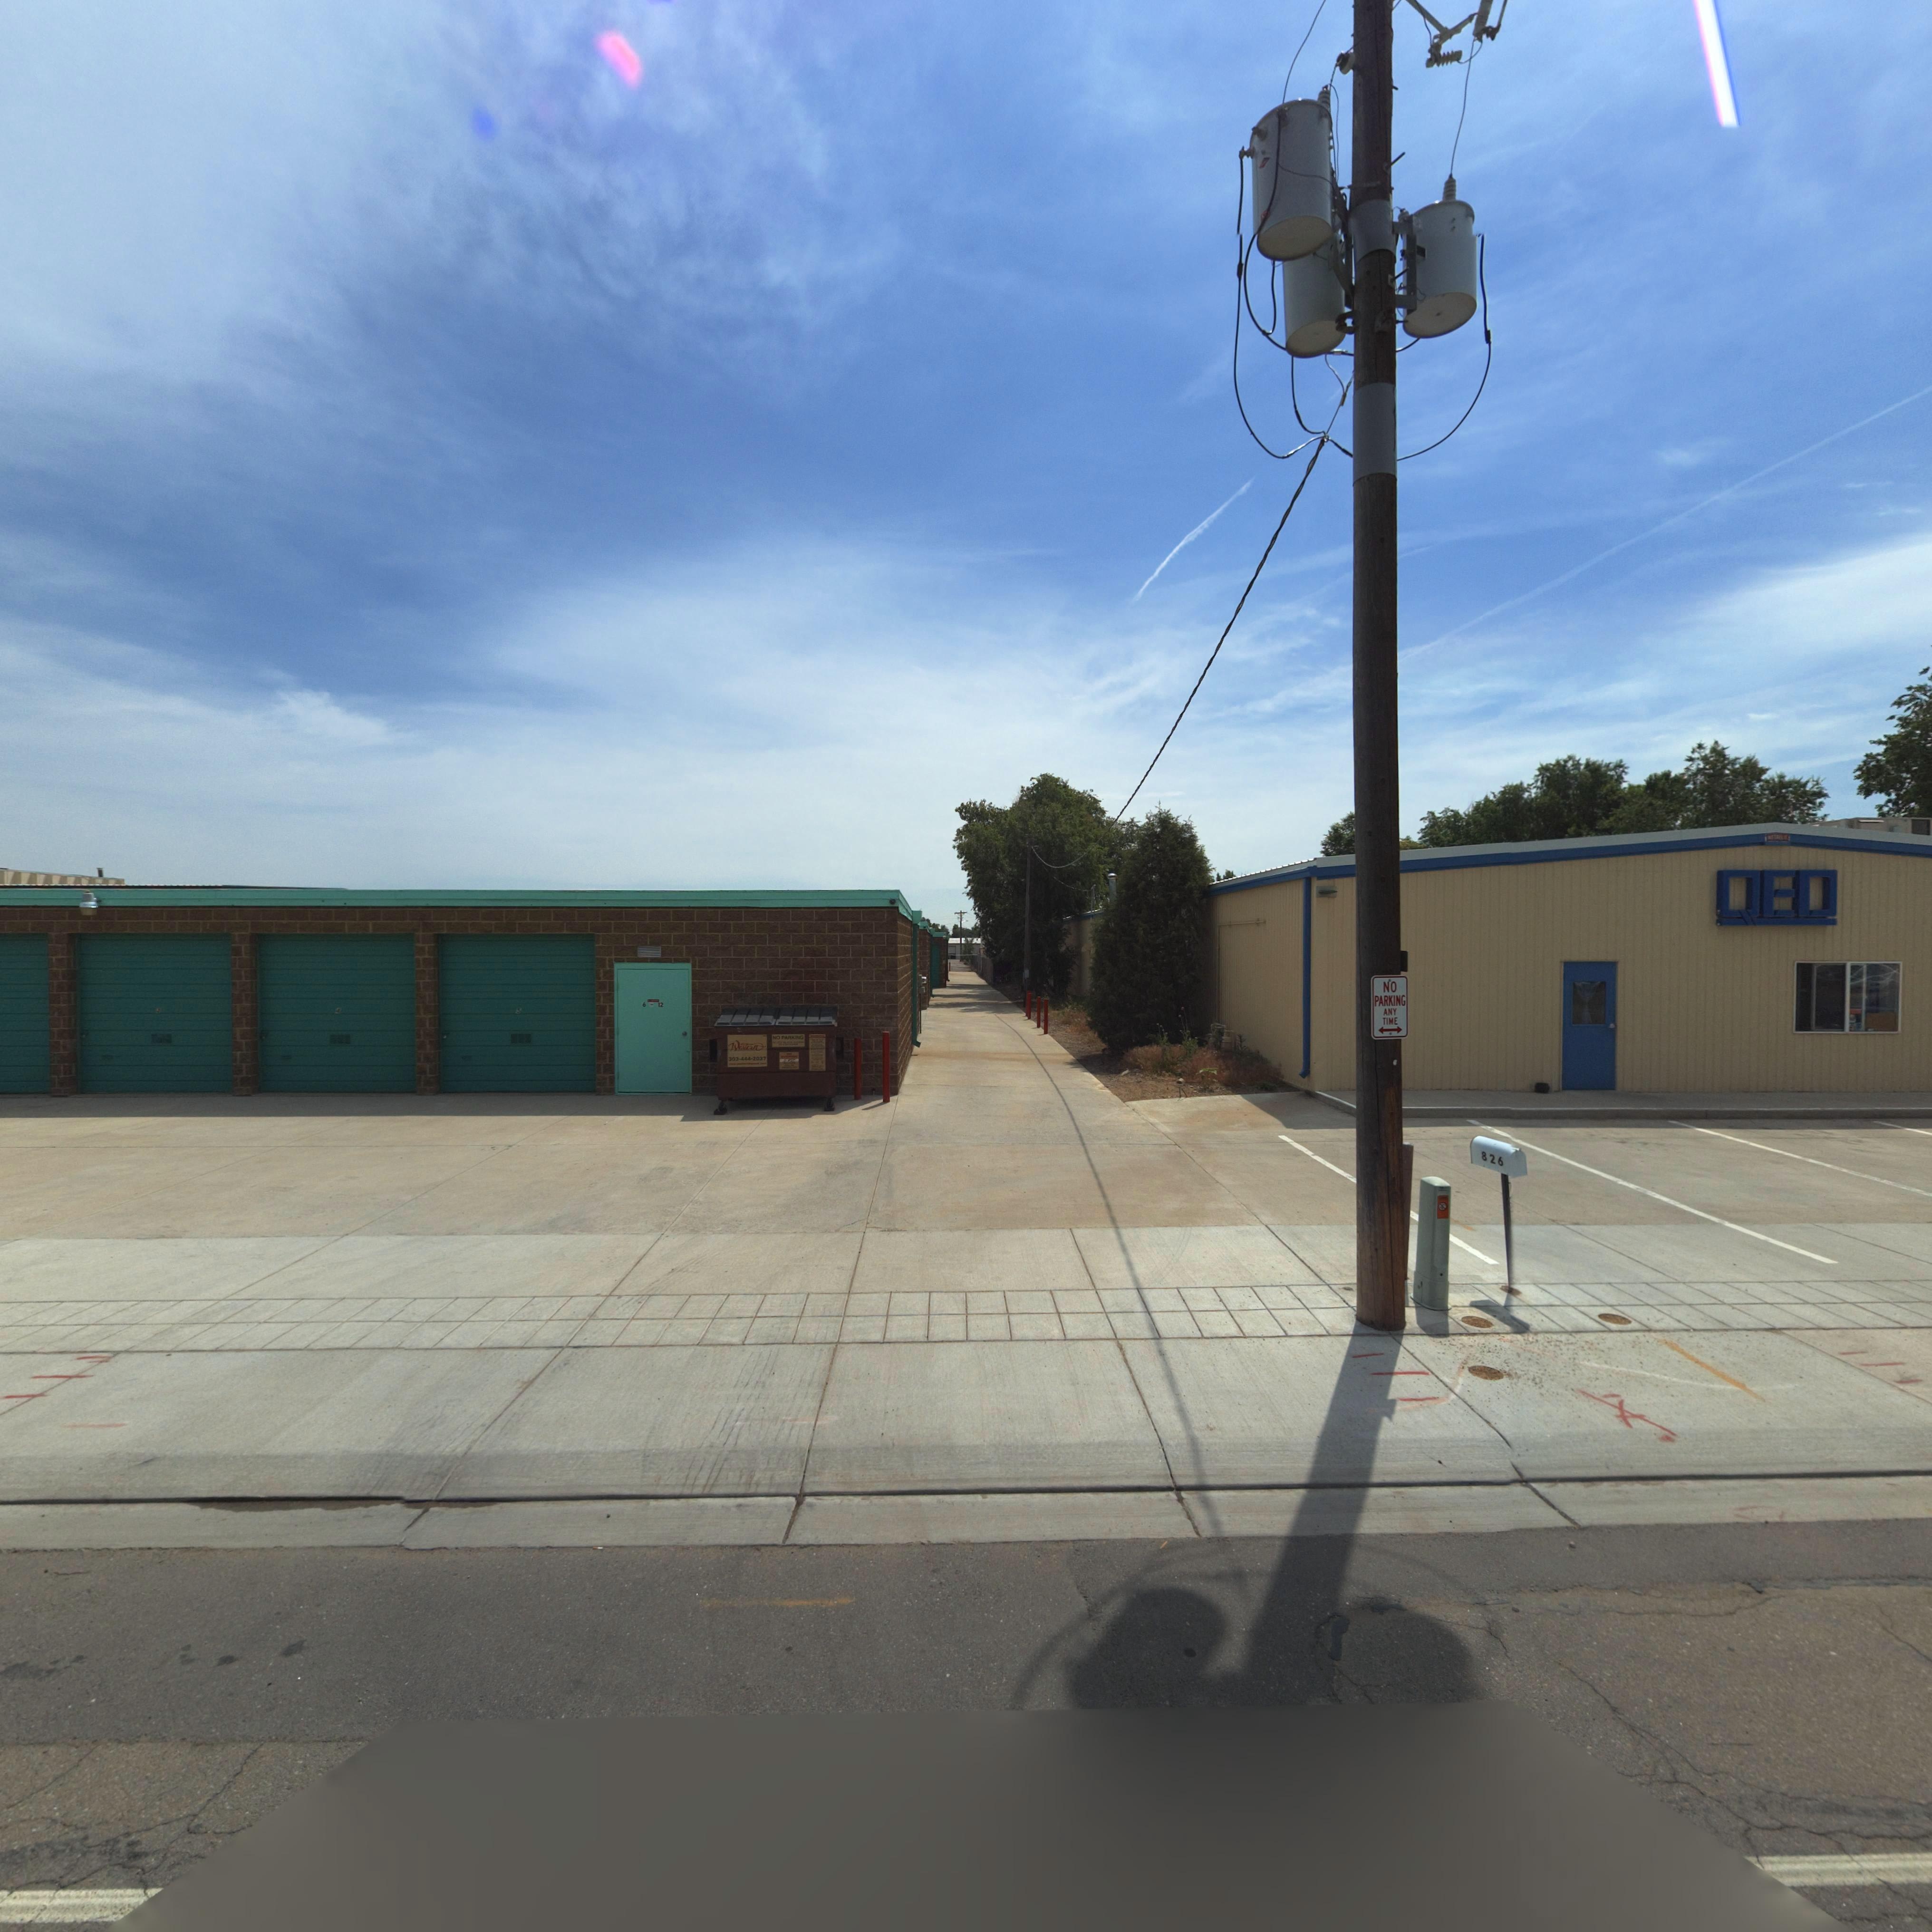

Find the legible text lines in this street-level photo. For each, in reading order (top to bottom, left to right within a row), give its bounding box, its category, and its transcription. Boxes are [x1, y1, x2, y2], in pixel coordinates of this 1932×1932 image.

[1716, 869, 1837, 926] BusinessName: QED
[1481, 1151, 1504, 1166] StreetNumber: 826